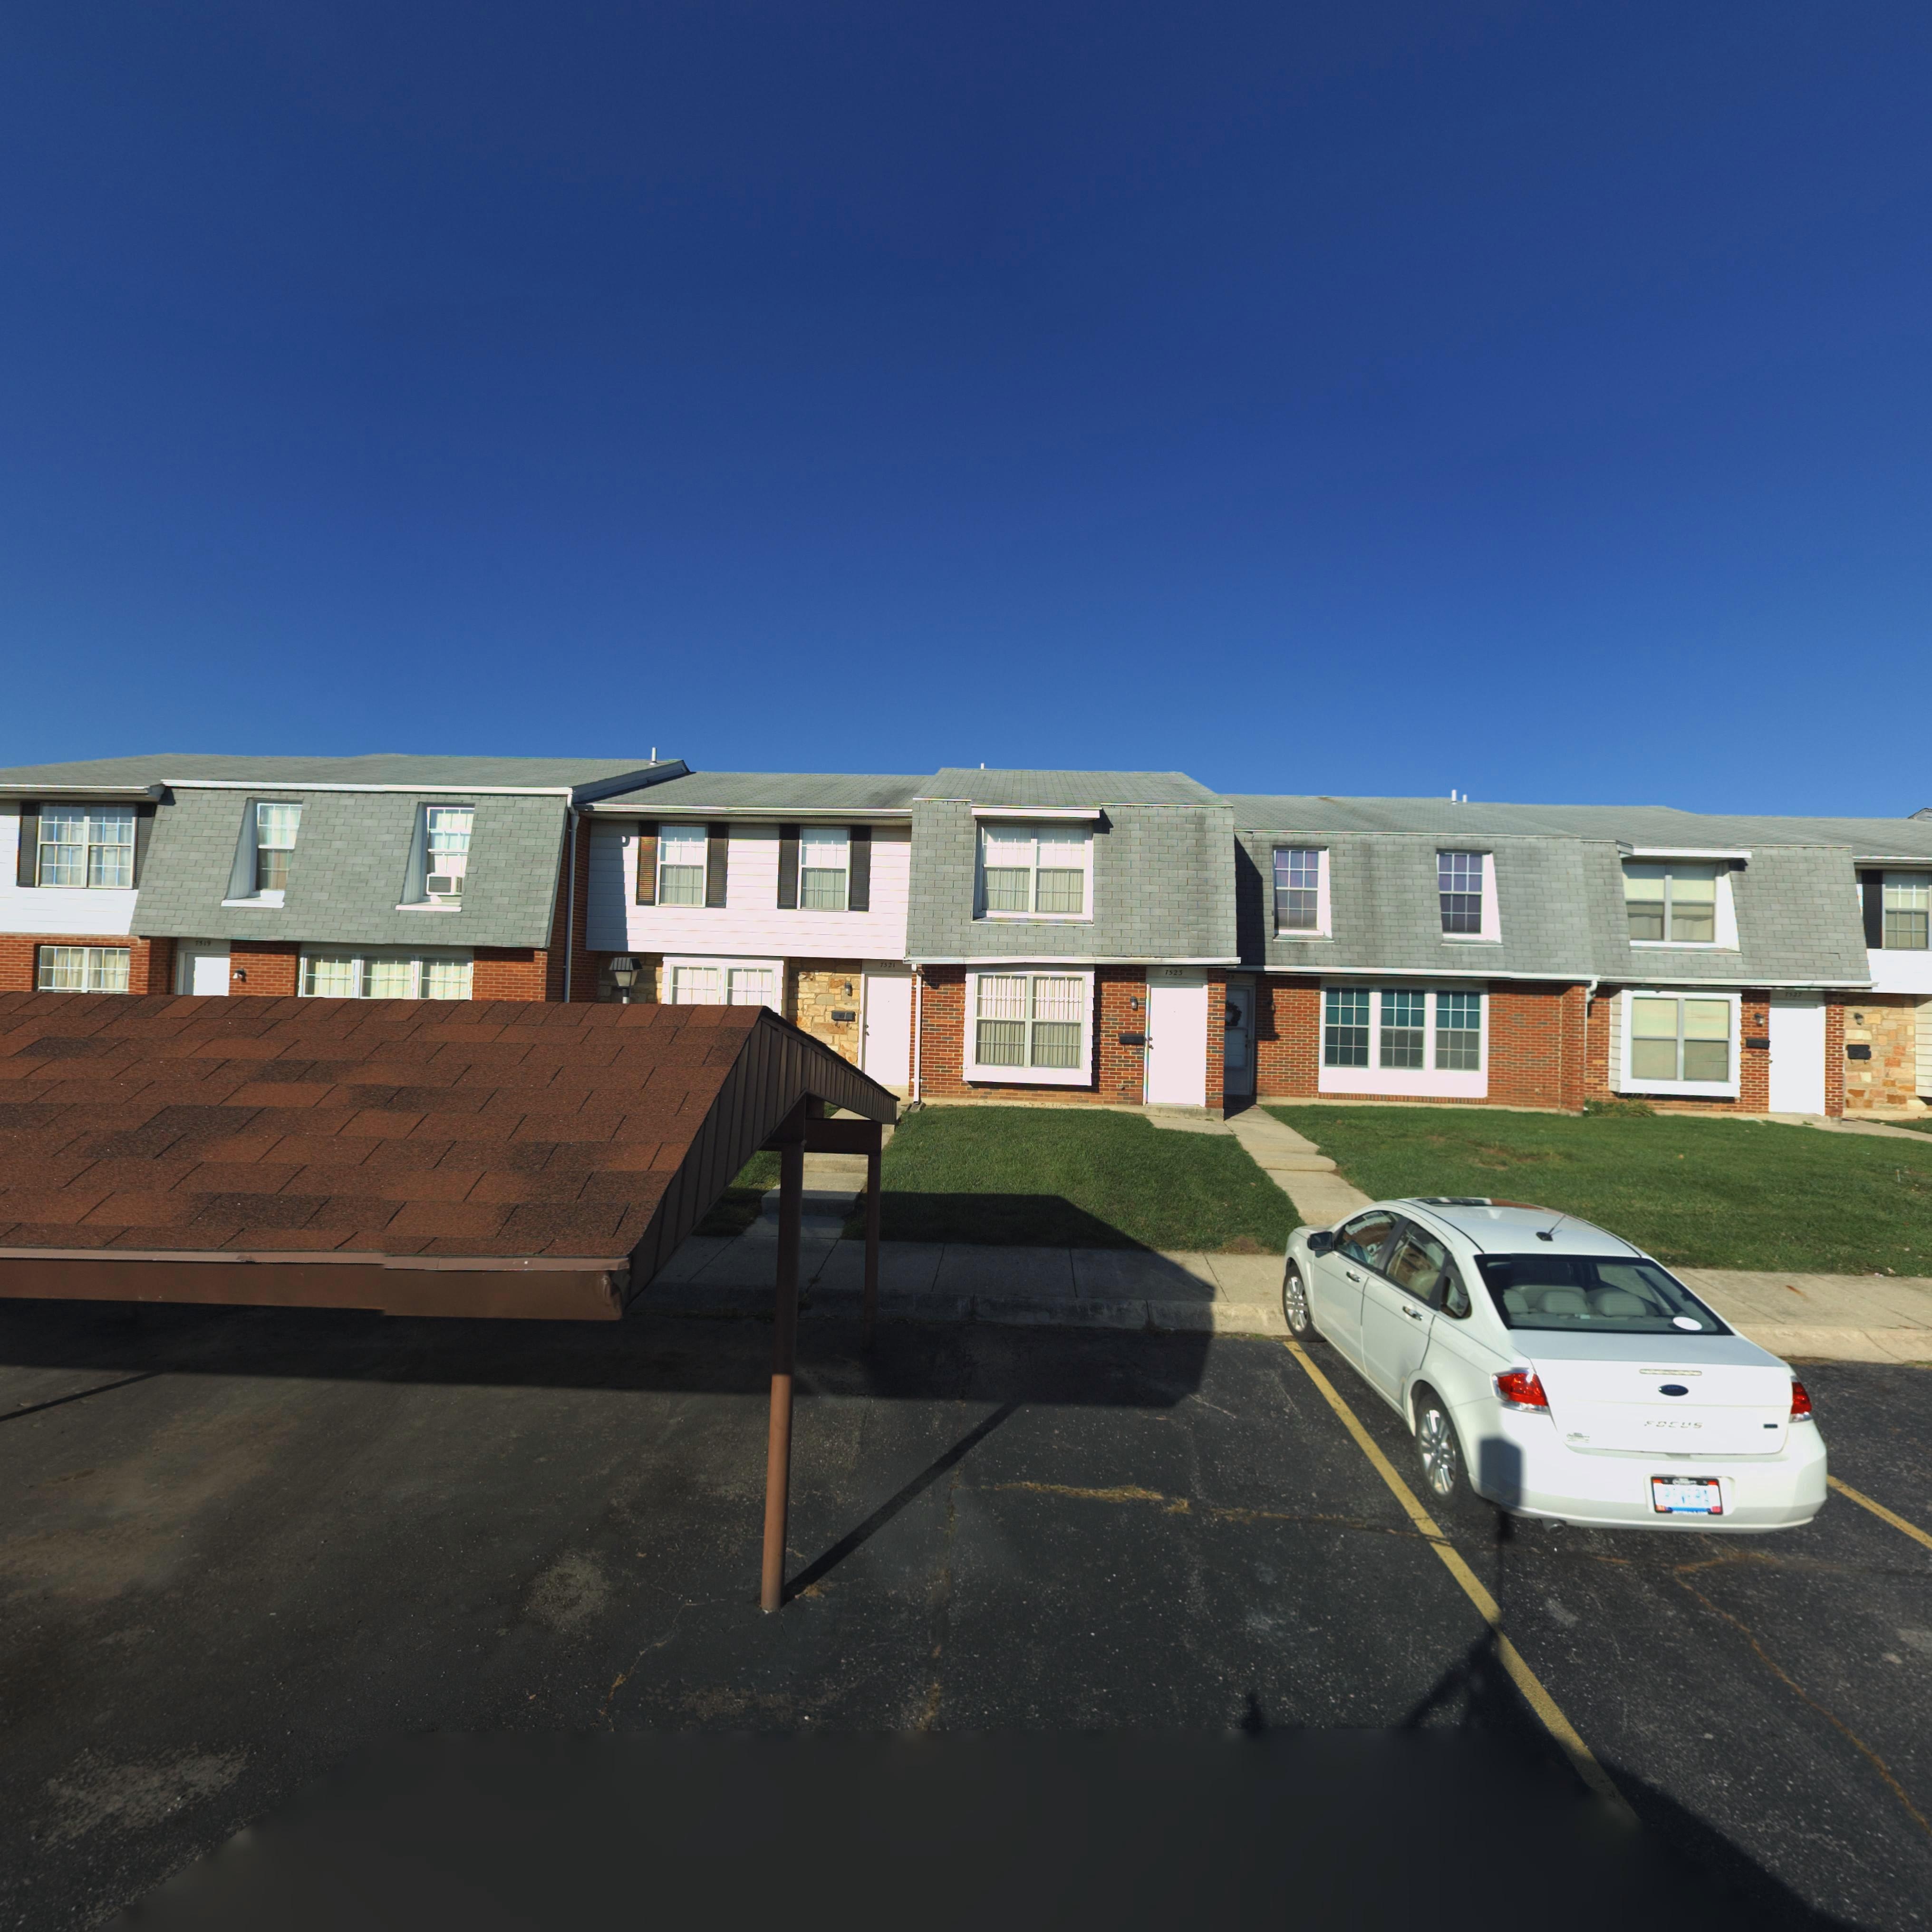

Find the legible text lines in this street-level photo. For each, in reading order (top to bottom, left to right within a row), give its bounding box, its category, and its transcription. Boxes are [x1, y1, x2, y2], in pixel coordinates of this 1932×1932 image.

[195, 940, 211, 947] StreetNumber: 7519
[880, 962, 895, 968] StreetNumber: 7521
[1165, 970, 1183, 976] StreetNumber: 7523
[1225, 973, 1234, 980] StreetNumber: 23
[1784, 991, 1802, 997] StreetNumber: 7527